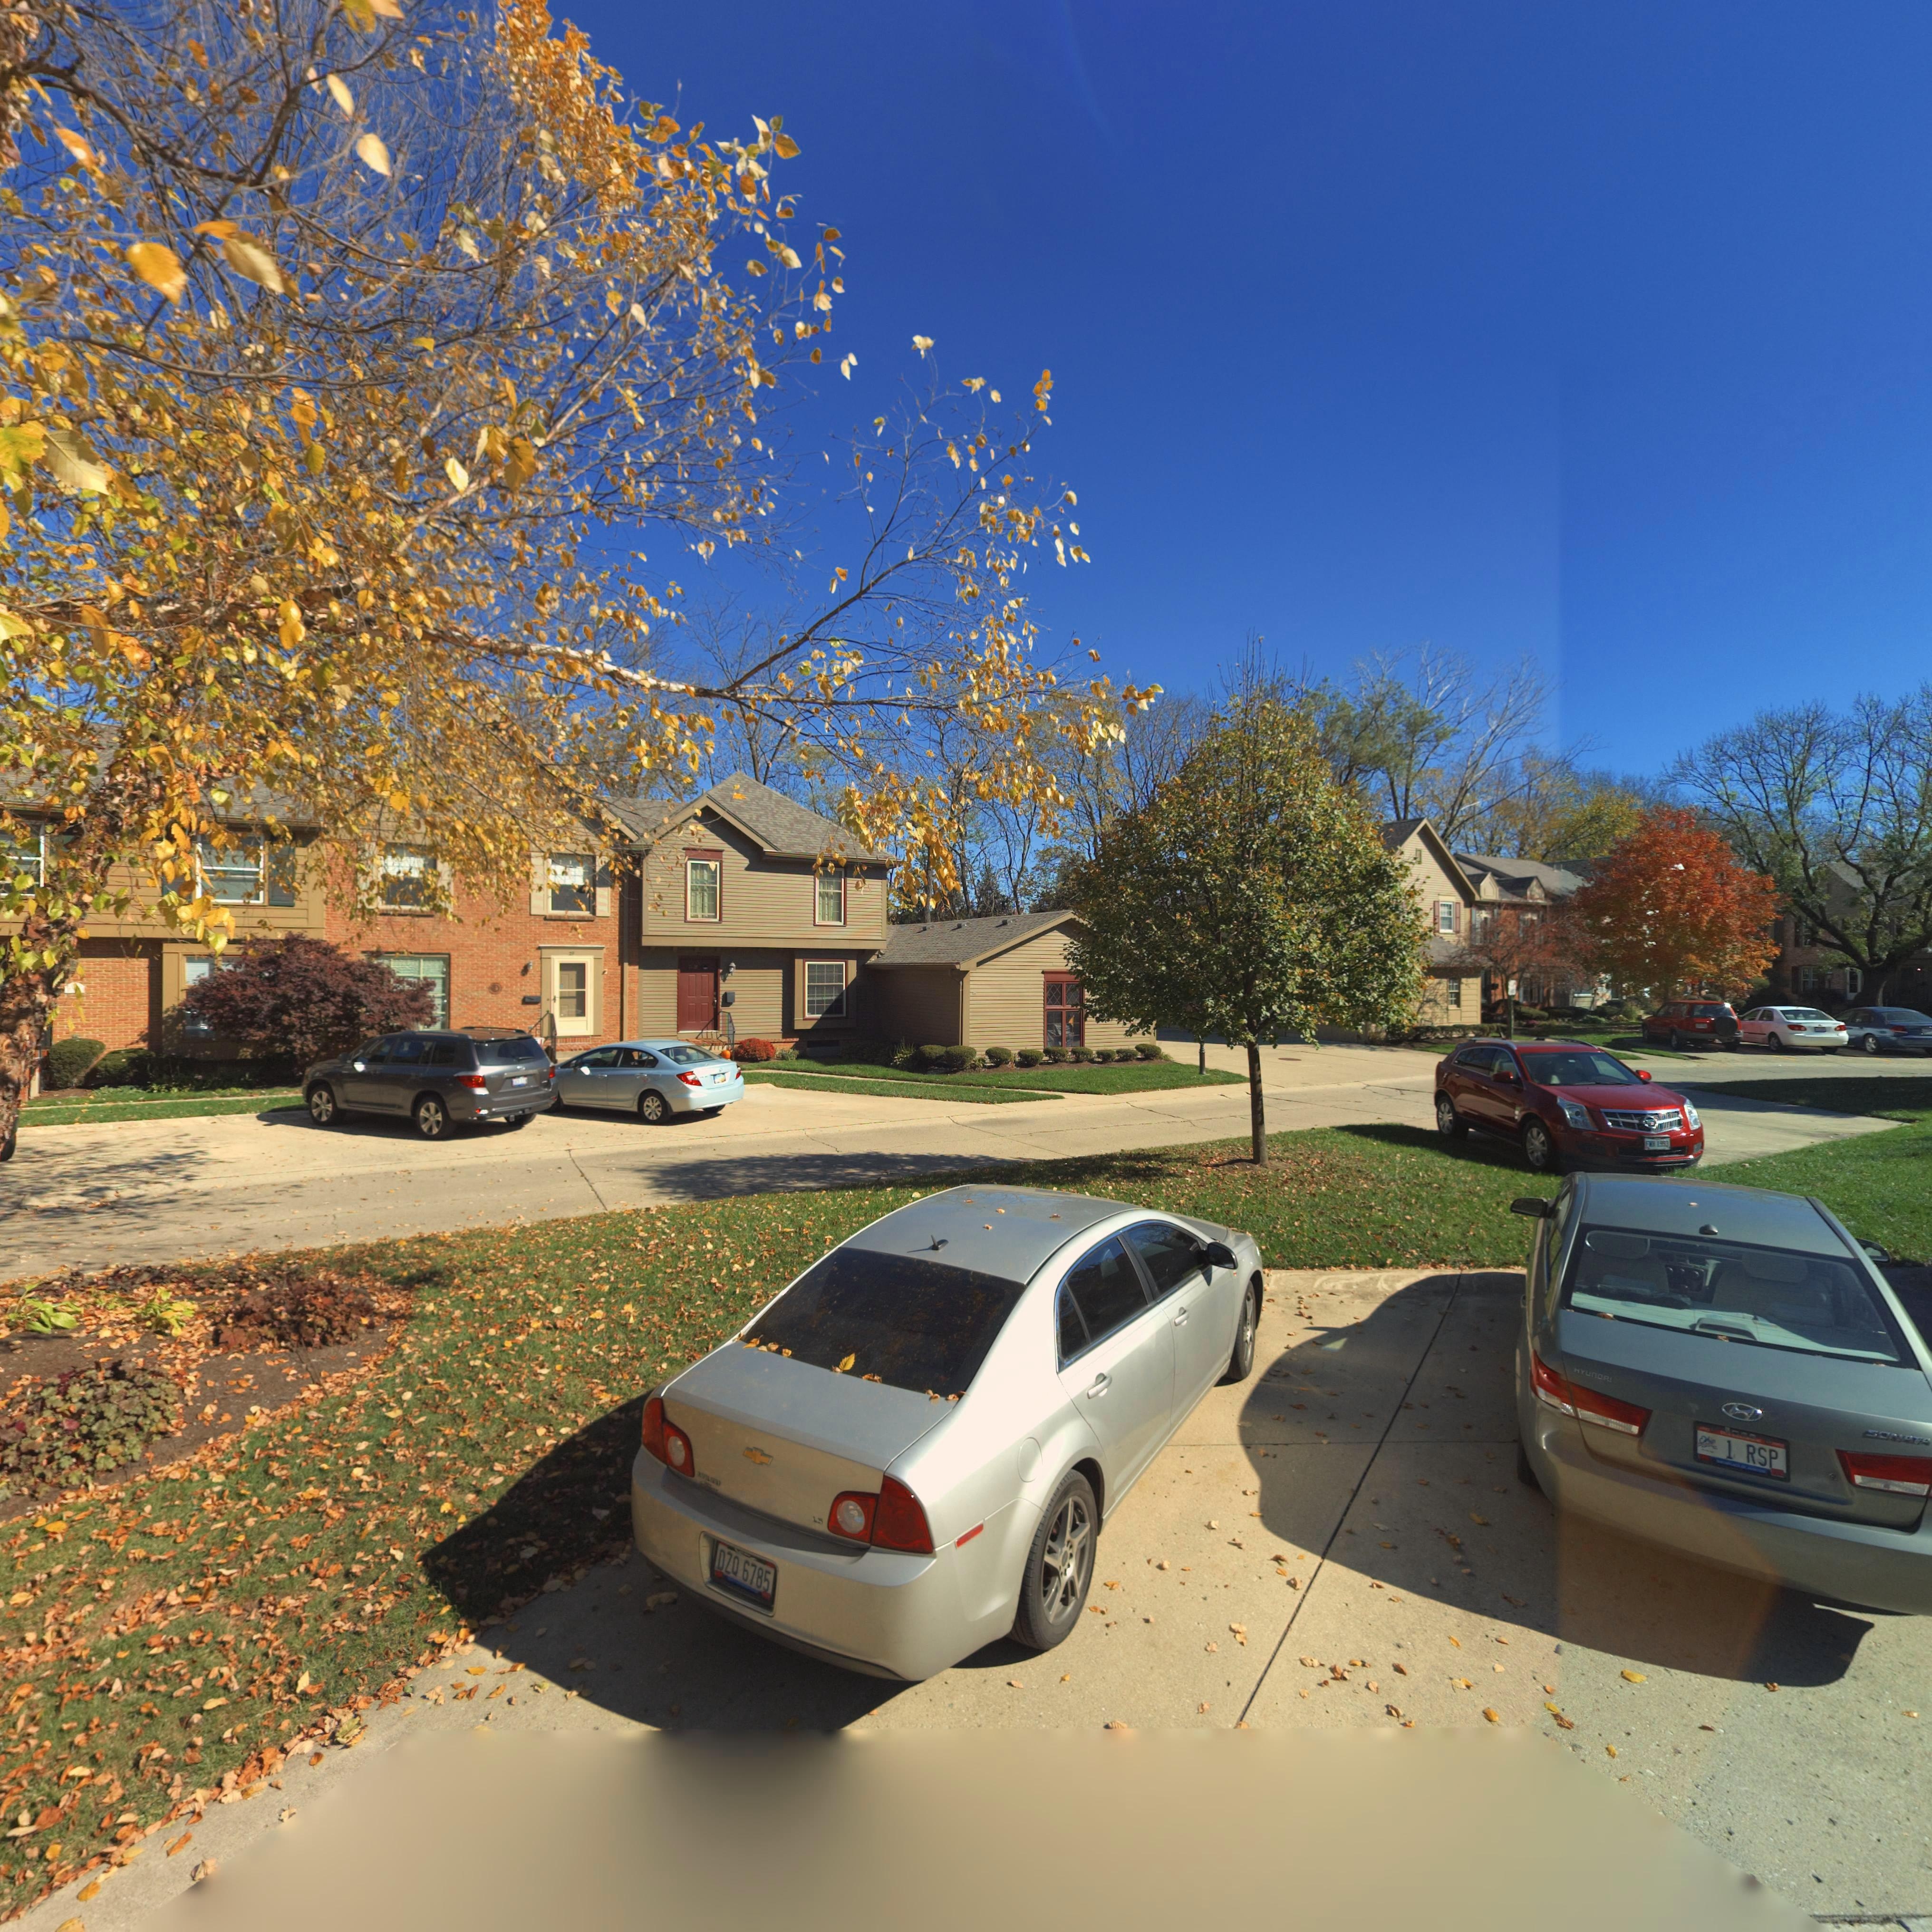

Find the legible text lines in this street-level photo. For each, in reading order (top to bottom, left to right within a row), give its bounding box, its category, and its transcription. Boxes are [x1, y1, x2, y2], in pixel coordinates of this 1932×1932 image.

[569, 951, 574, 955] StreetNumber: 29
[696, 952, 702, 956] StreetNumber: 27
[1656, 1140, 1669, 1148] StreetNumber: 1993
[1573, 1366, 1613, 1384] None: HYUNDAI
[1698, 1434, 1717, 1446] None: Ohio
[1862, 1428, 1932, 1447] None: SONATA
[1725, 1439, 1779, 1471] None: 1*RSP
[715, 1546, 773, 1594] None: DZQ*6785